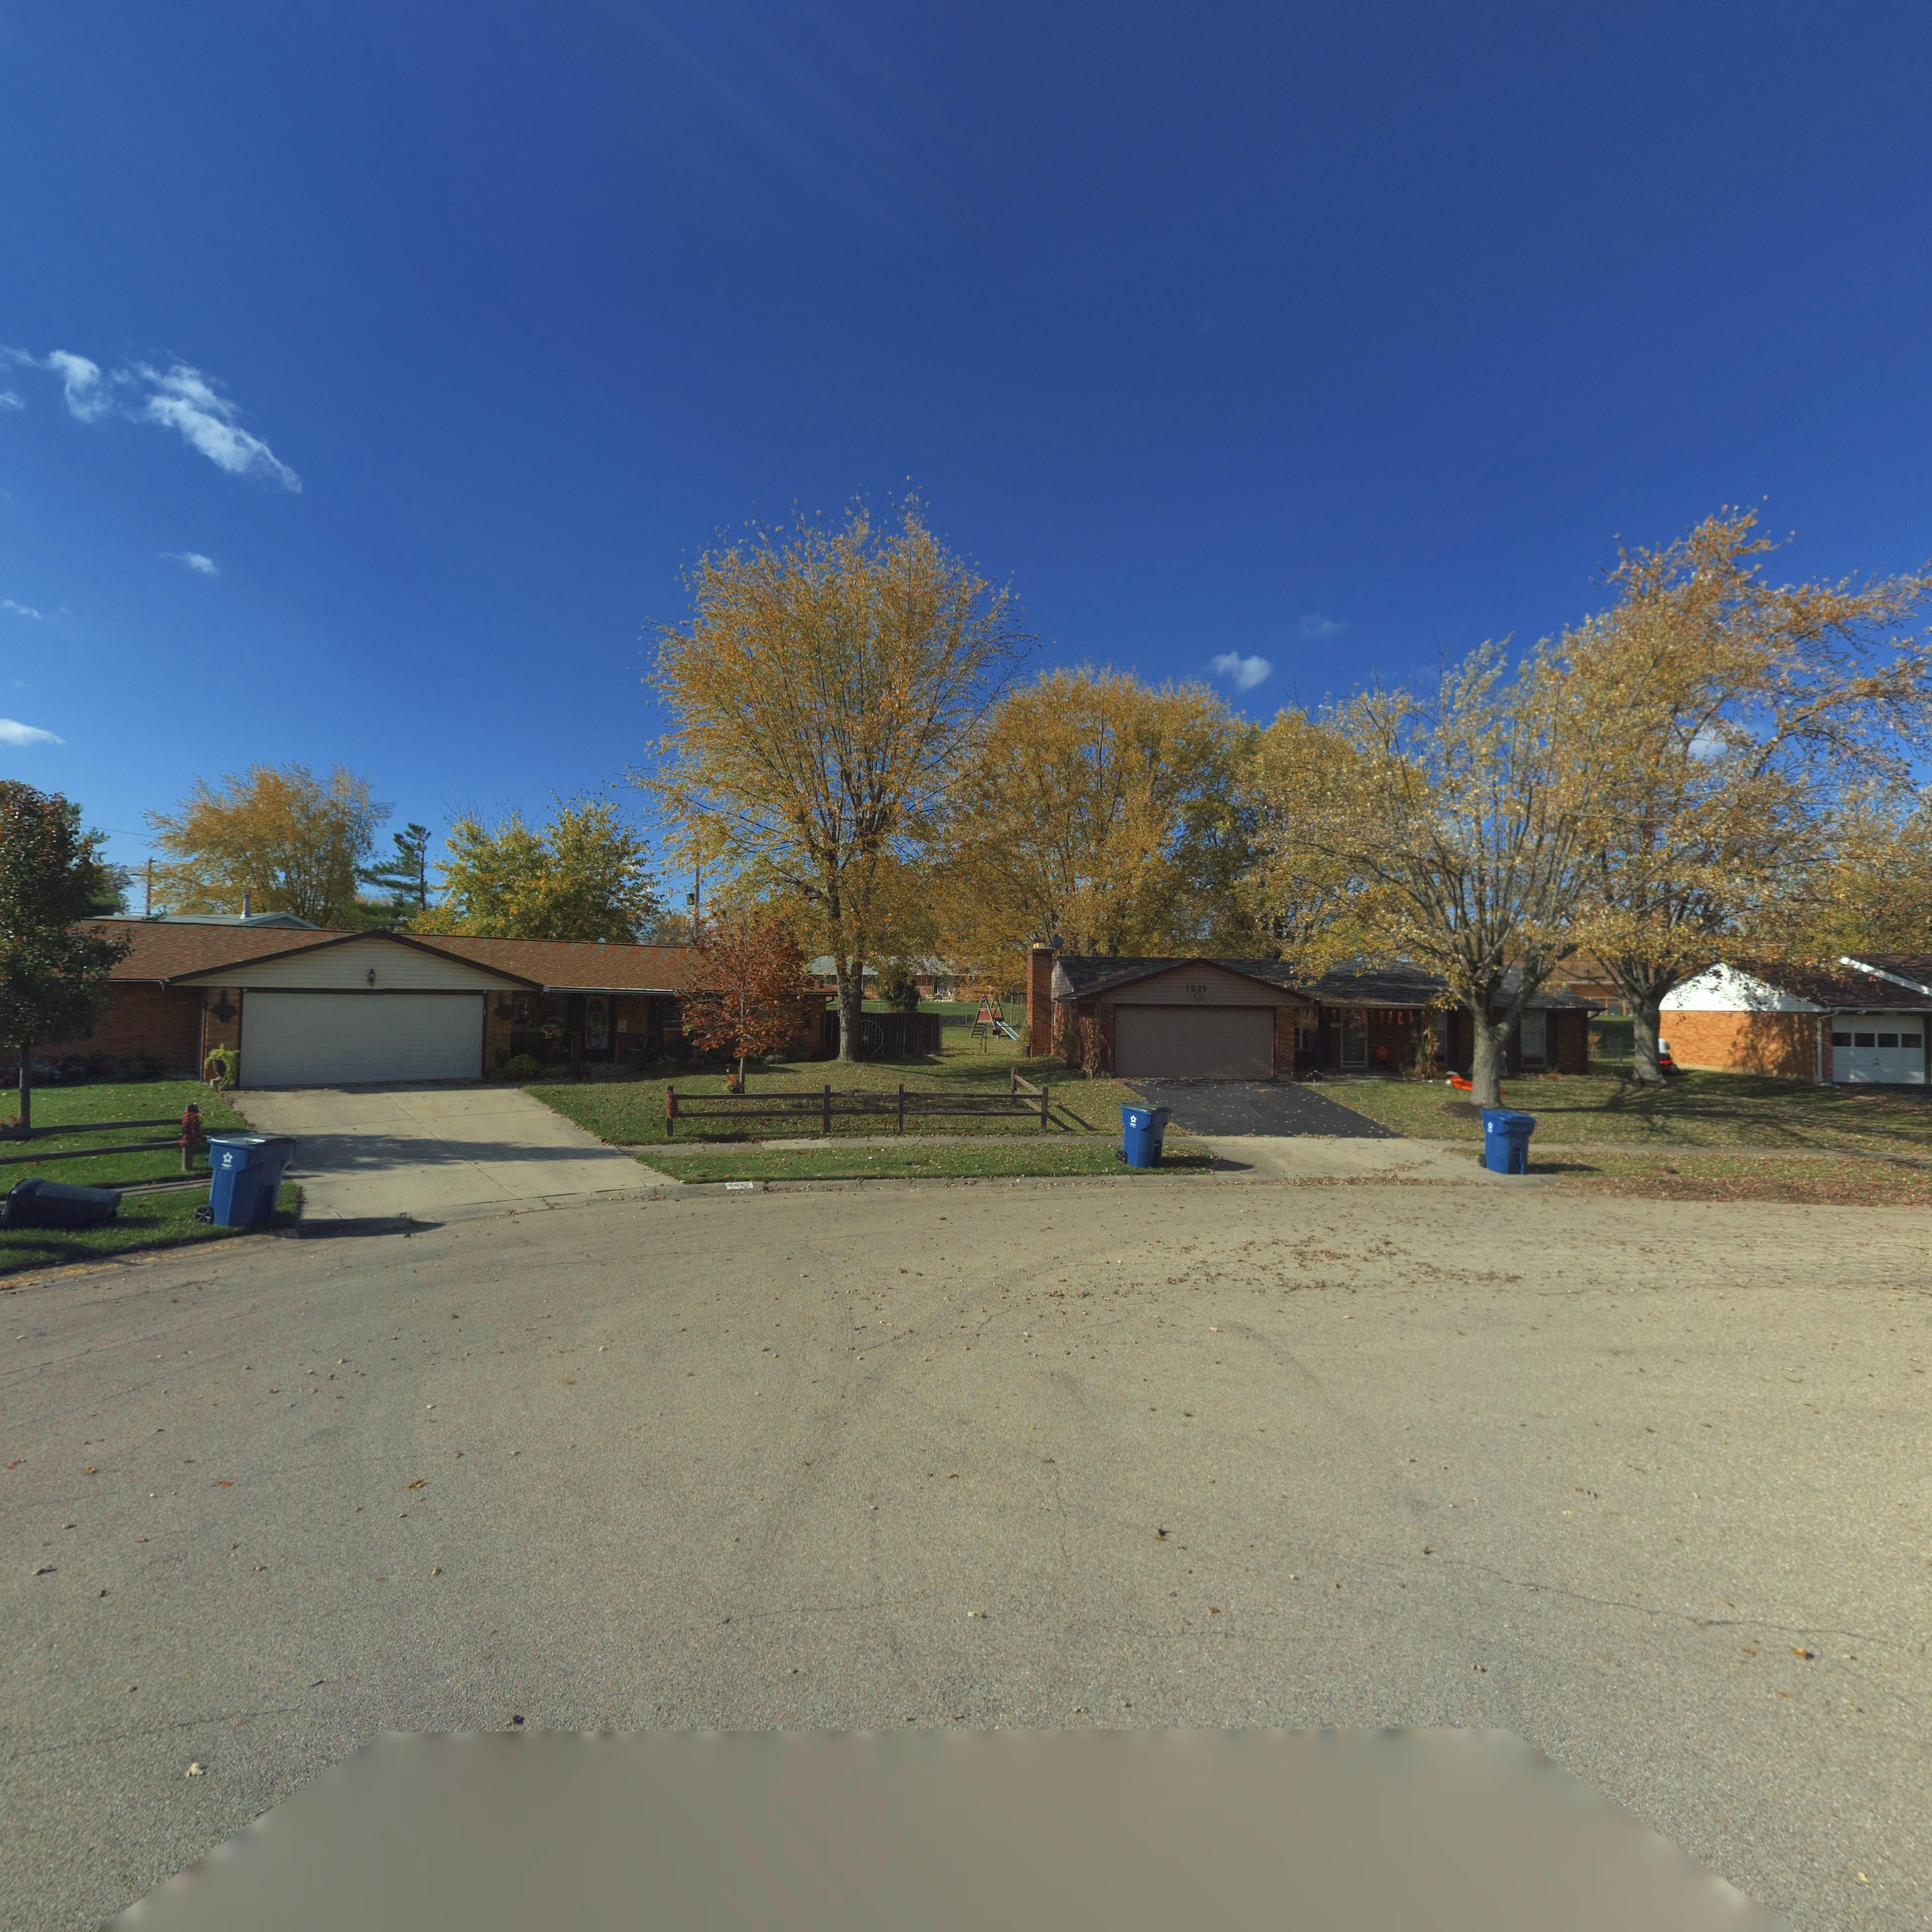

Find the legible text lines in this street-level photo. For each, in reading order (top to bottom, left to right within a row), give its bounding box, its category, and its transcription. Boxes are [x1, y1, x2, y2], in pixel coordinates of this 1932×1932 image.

[1185, 984, 1207, 993] StreetNumber: 7521